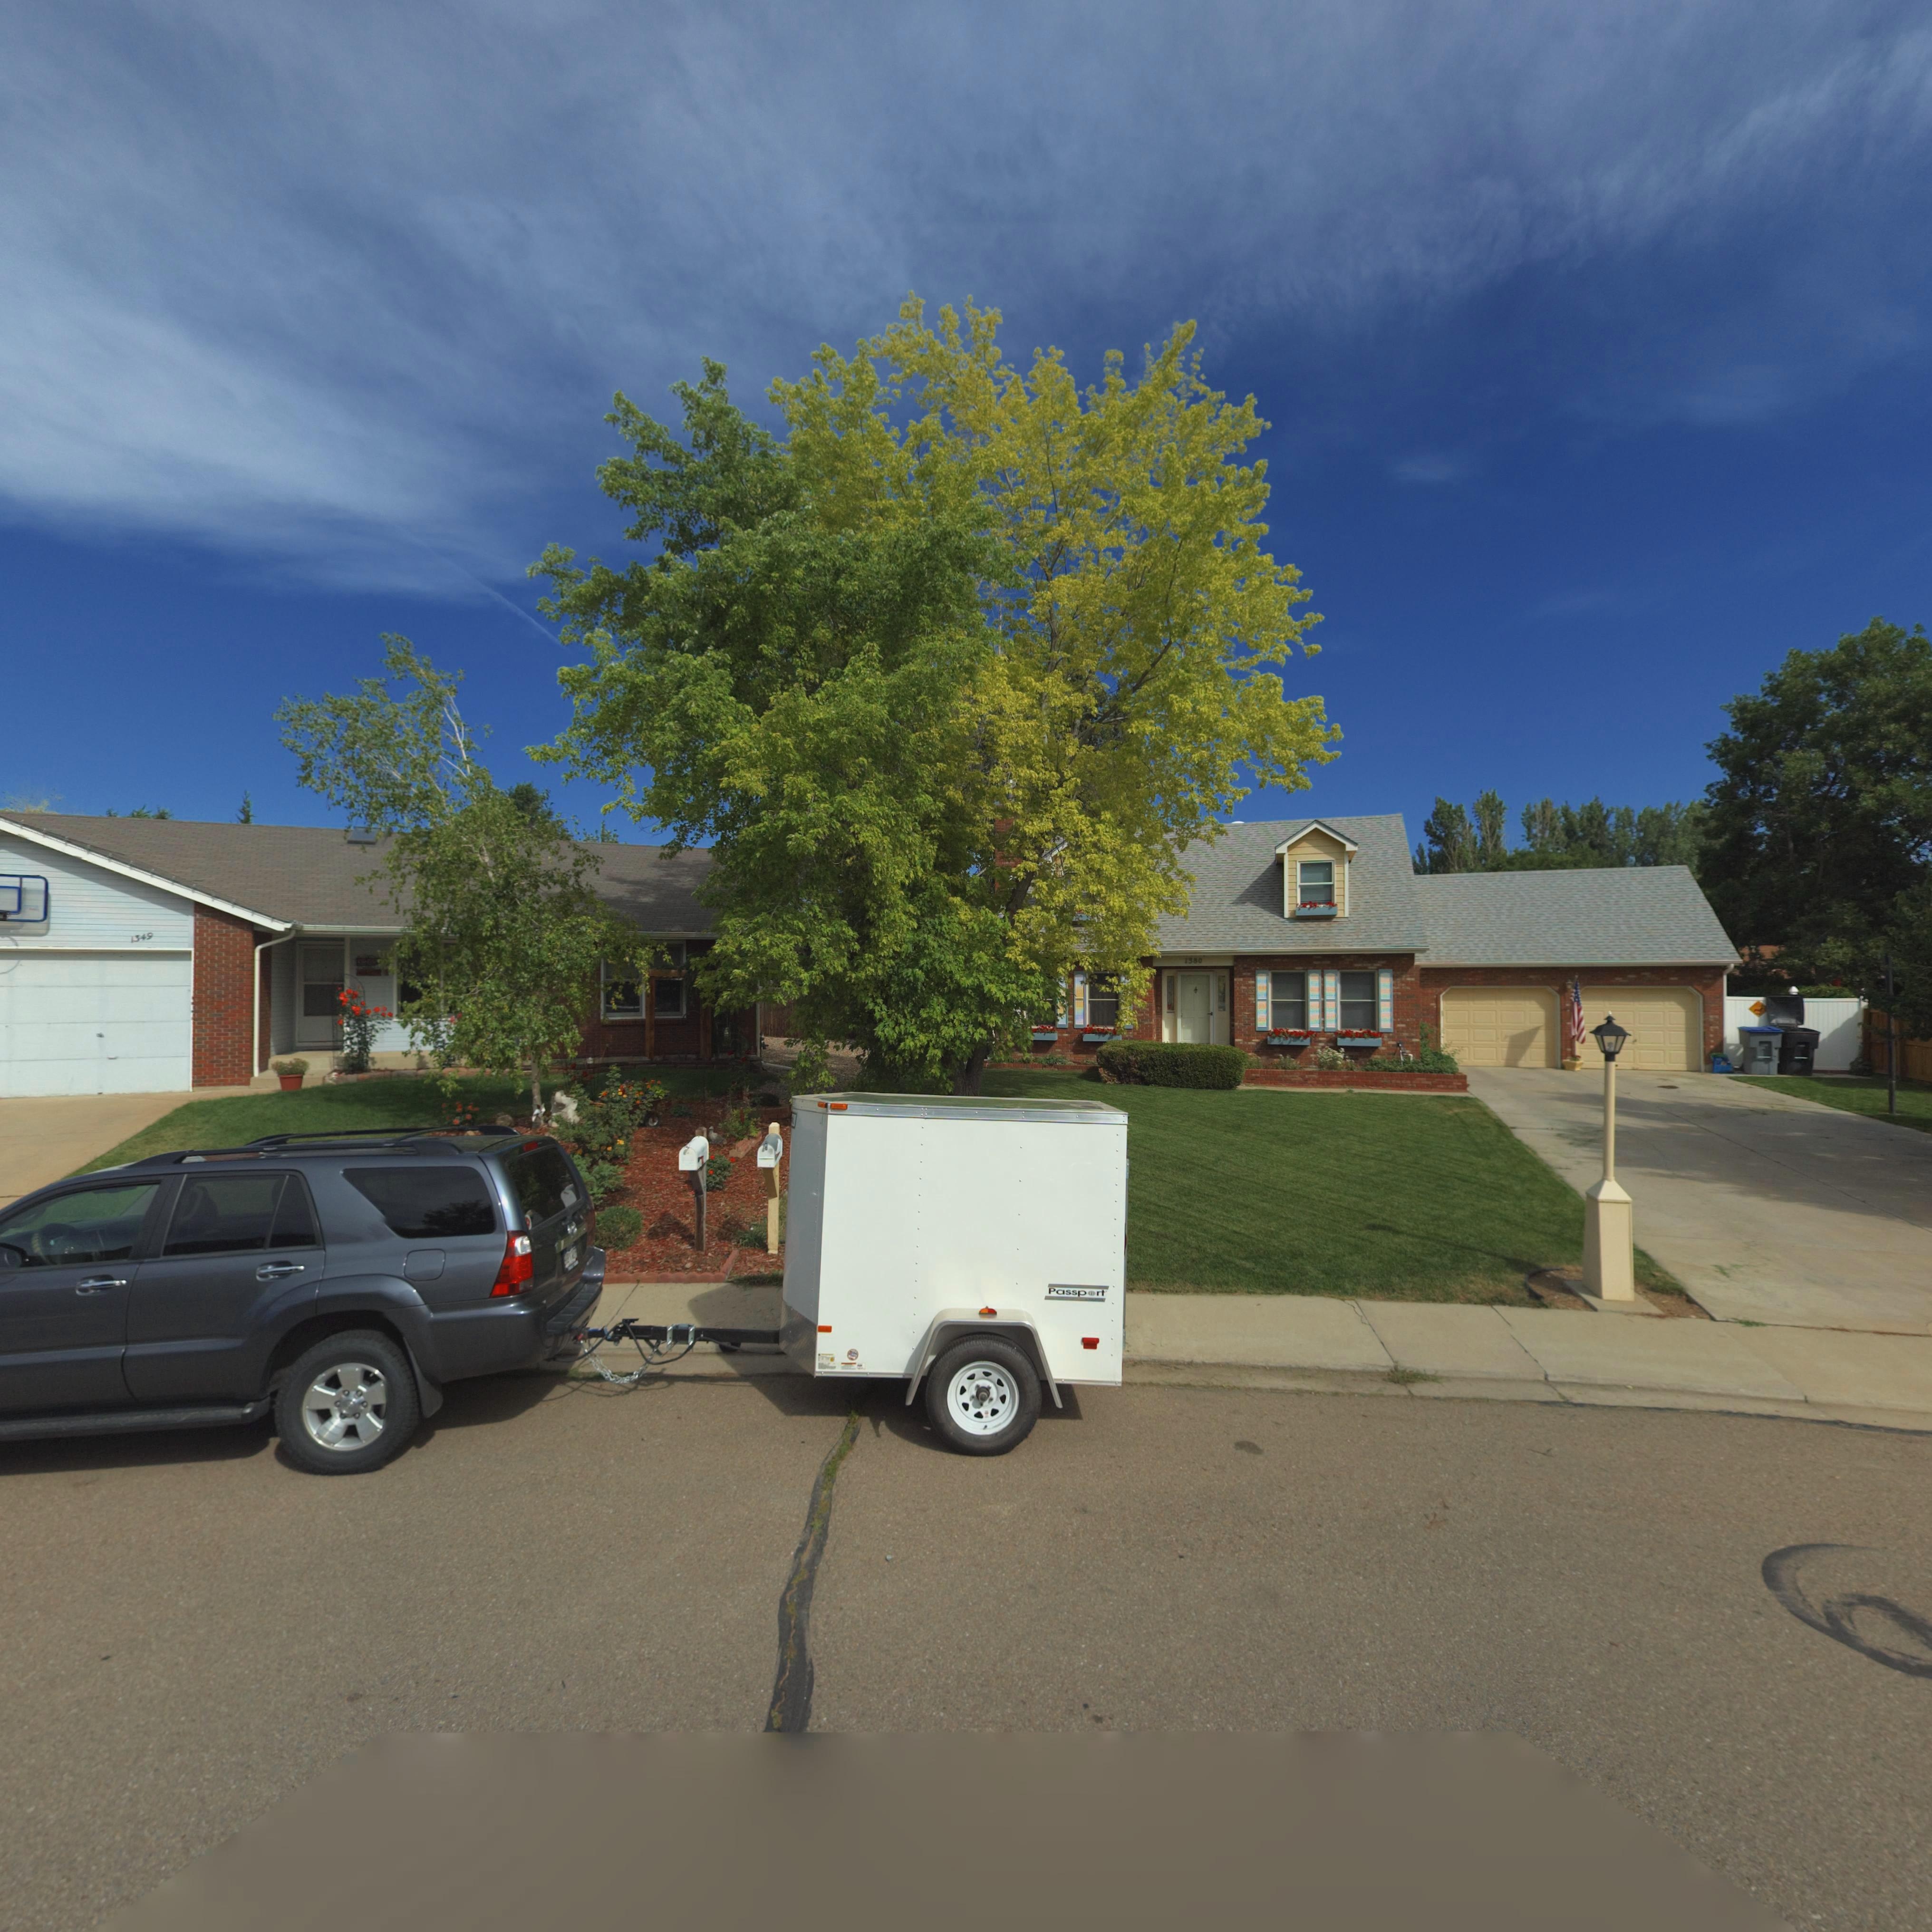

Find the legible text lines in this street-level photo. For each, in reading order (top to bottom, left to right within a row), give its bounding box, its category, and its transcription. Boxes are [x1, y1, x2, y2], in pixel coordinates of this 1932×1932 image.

[130, 932, 153, 944] StreetNumber: 1349
[1184, 957, 1203, 964] StreetNumber: 1380